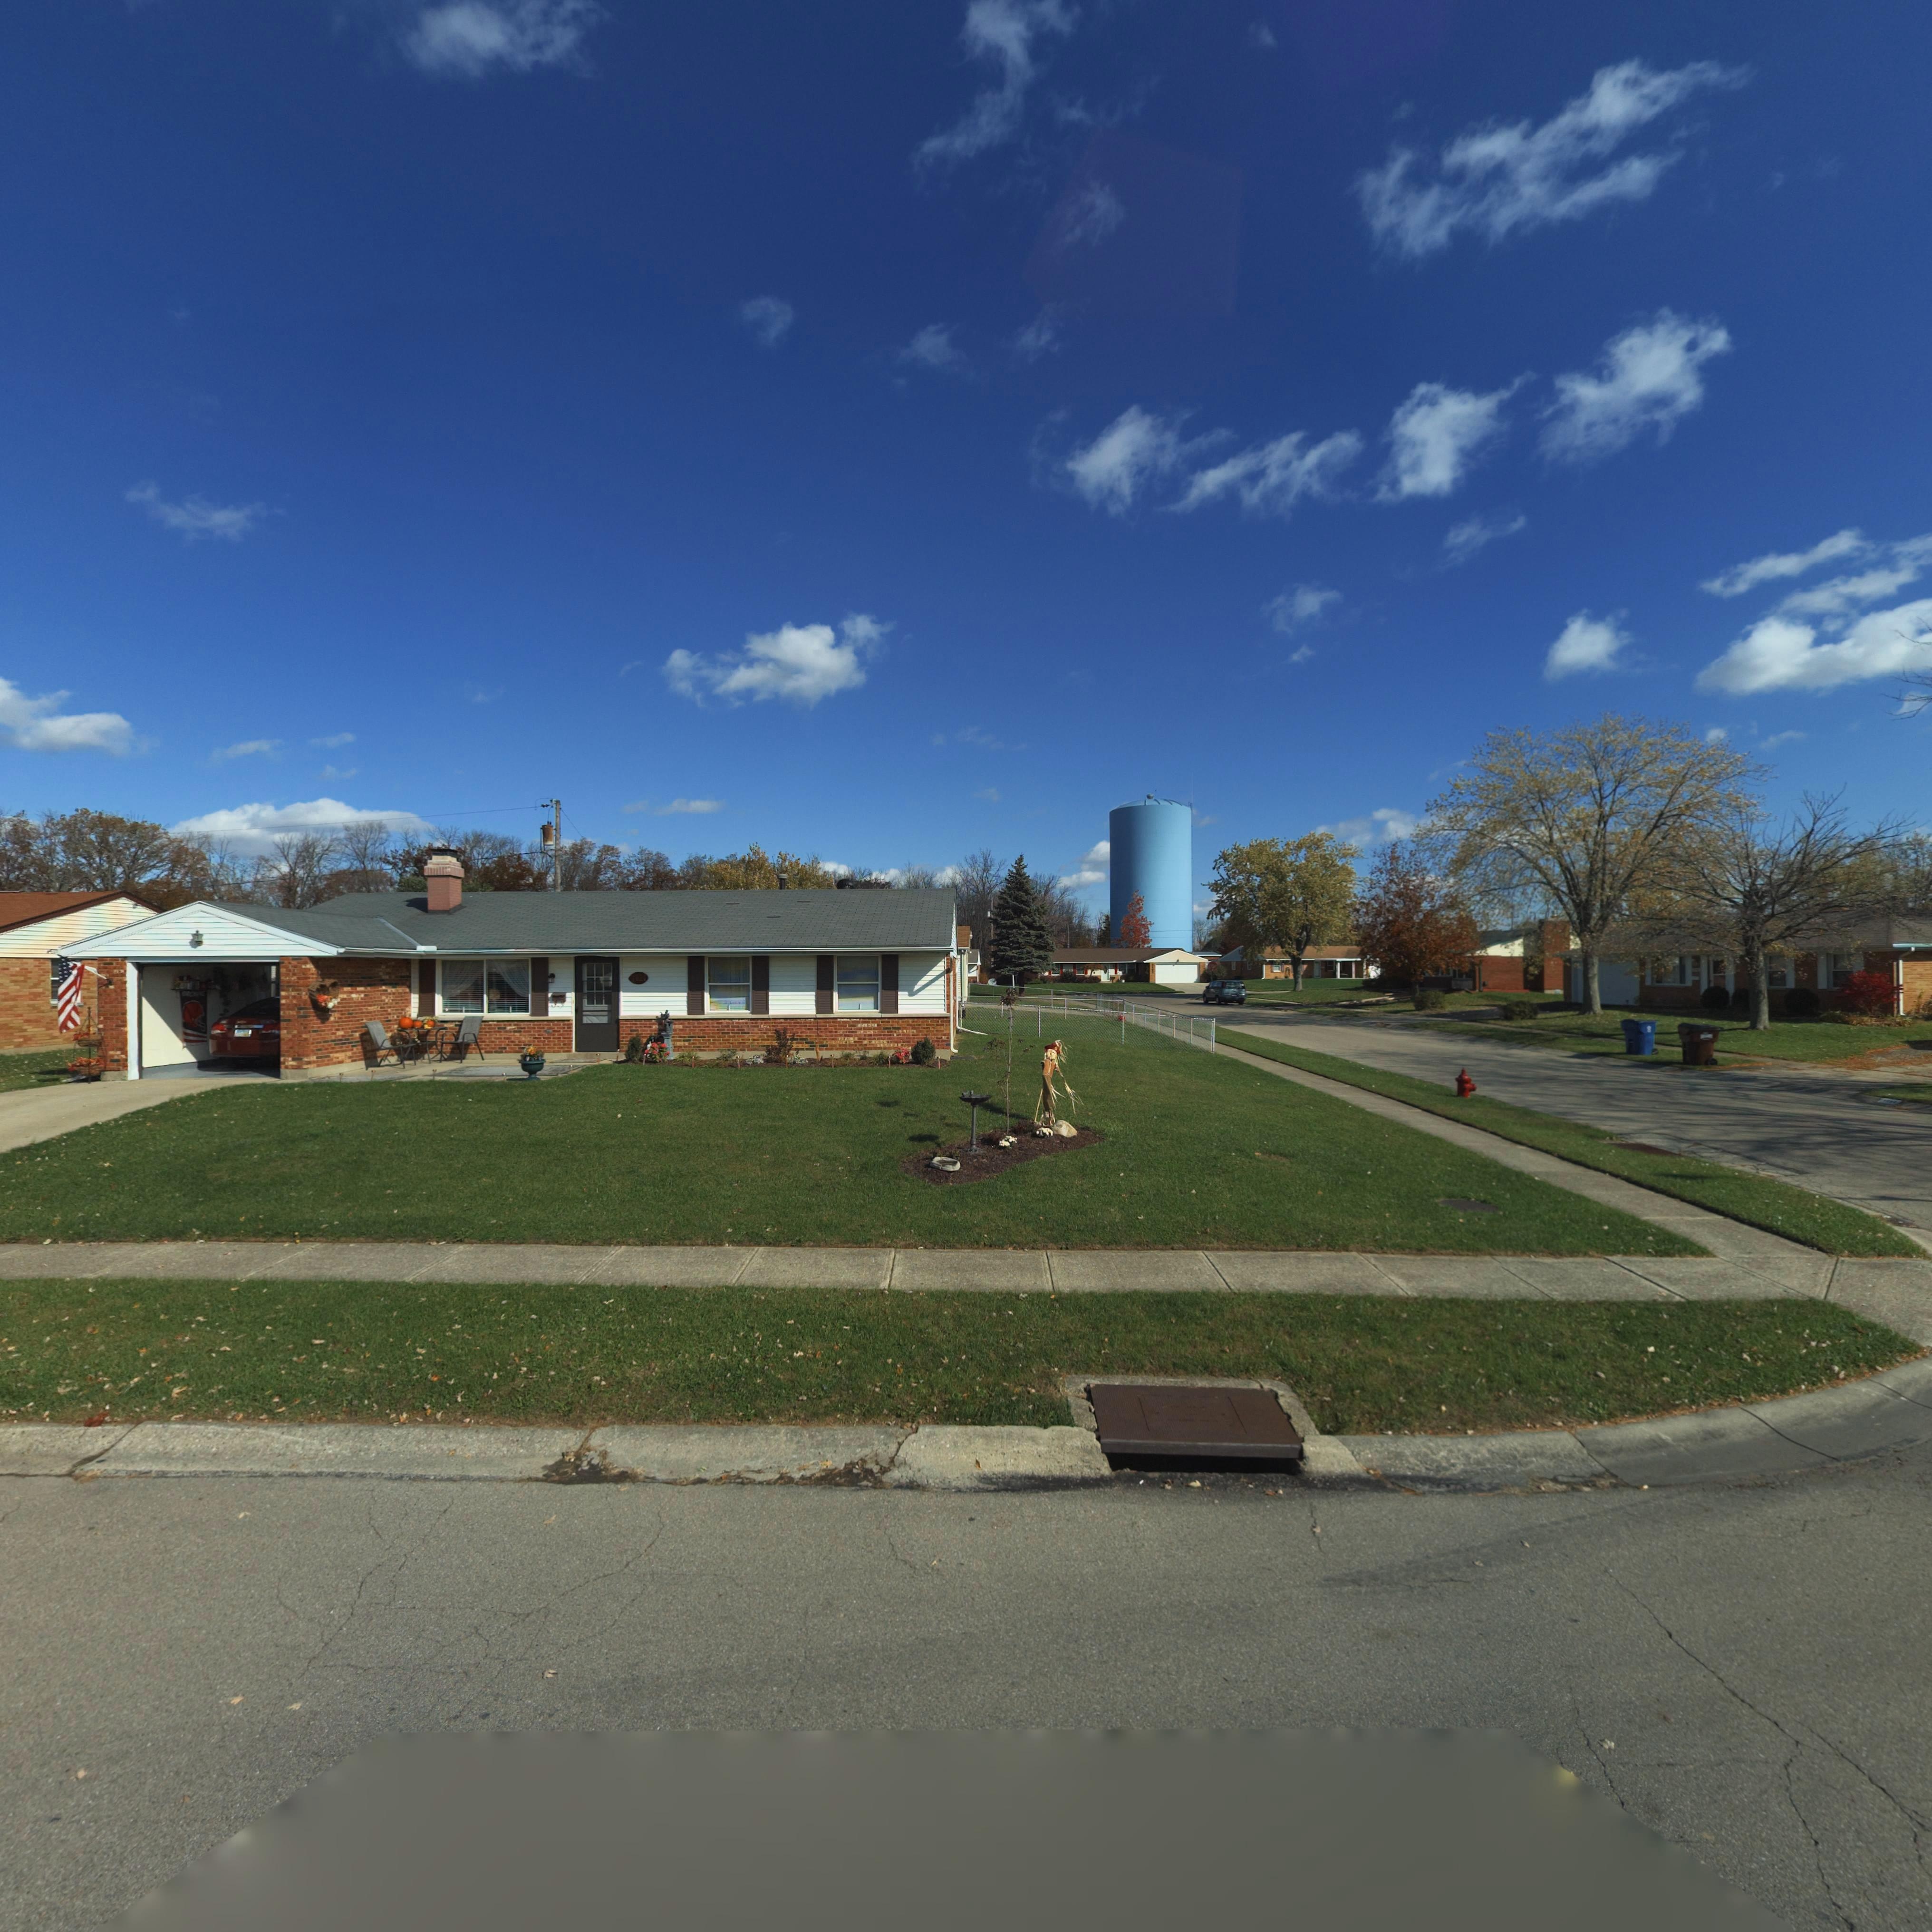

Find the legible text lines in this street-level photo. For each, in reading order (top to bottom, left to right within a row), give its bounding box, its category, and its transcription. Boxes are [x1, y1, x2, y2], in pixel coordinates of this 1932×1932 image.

[630, 973, 647, 982] StreetNumber: 7821